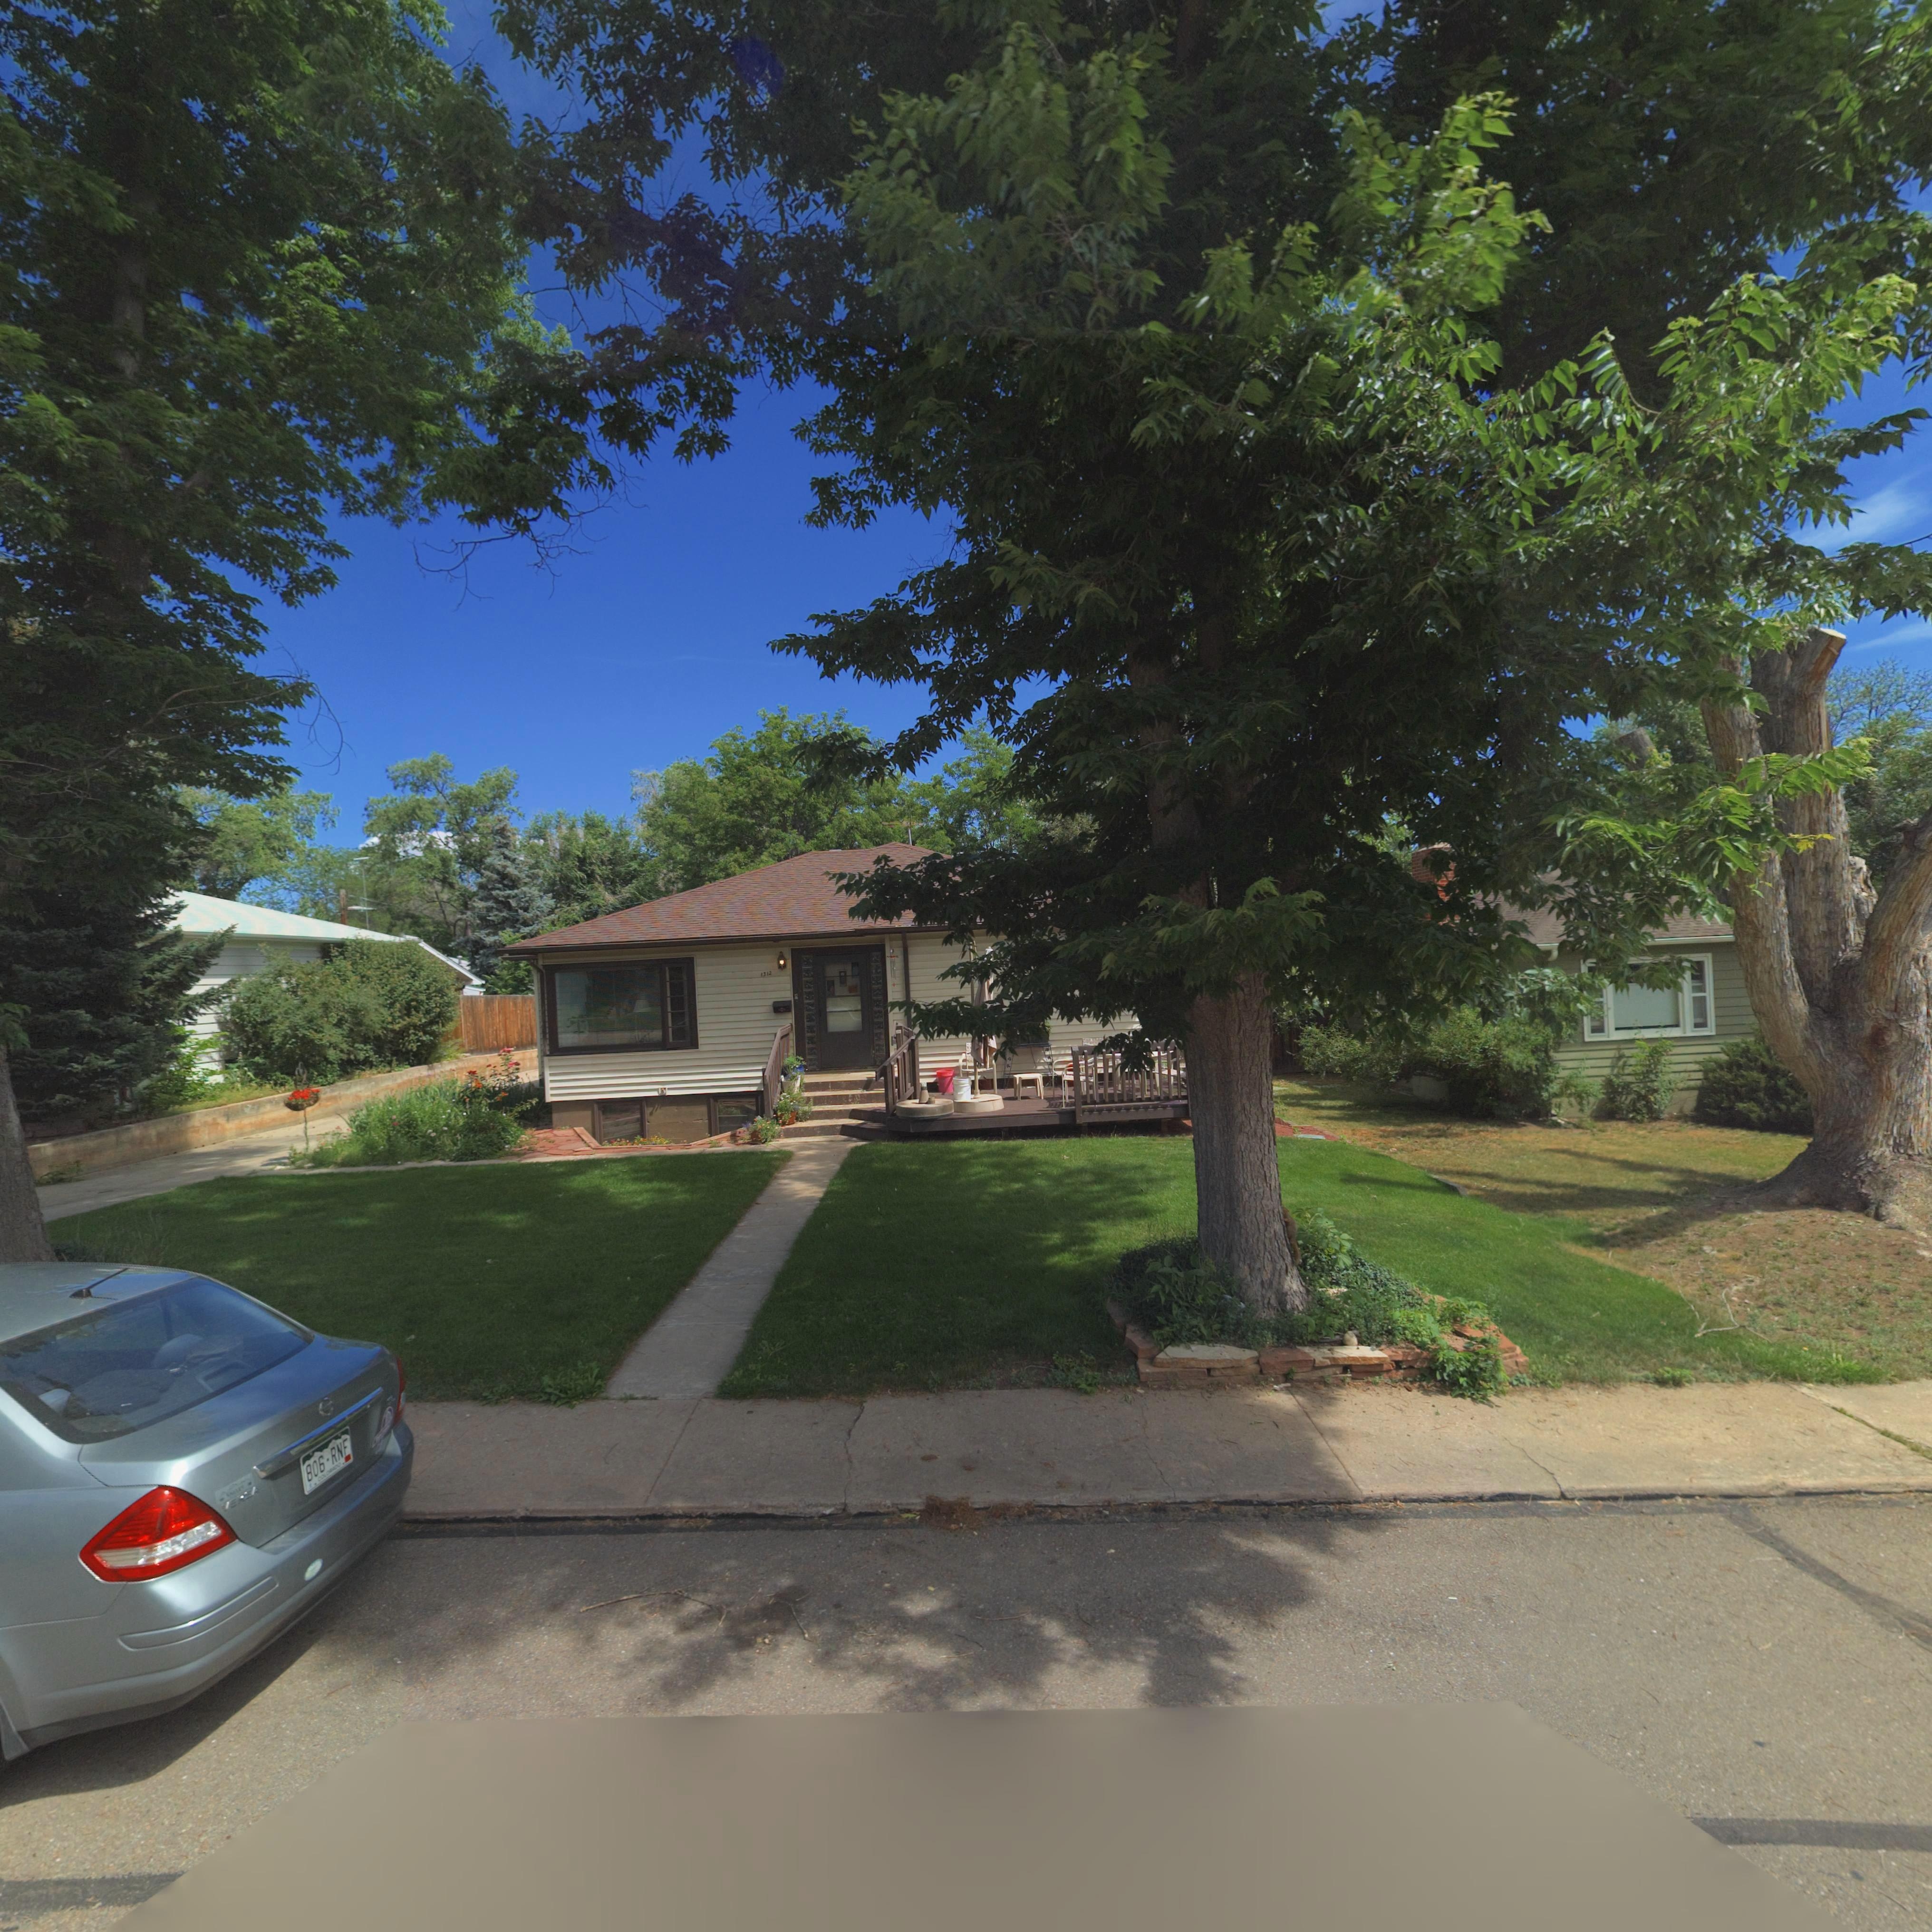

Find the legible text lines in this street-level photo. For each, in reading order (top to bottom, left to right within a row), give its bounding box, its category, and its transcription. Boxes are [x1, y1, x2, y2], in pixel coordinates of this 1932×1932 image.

[760, 970, 772, 977] StreetNumber: 1312